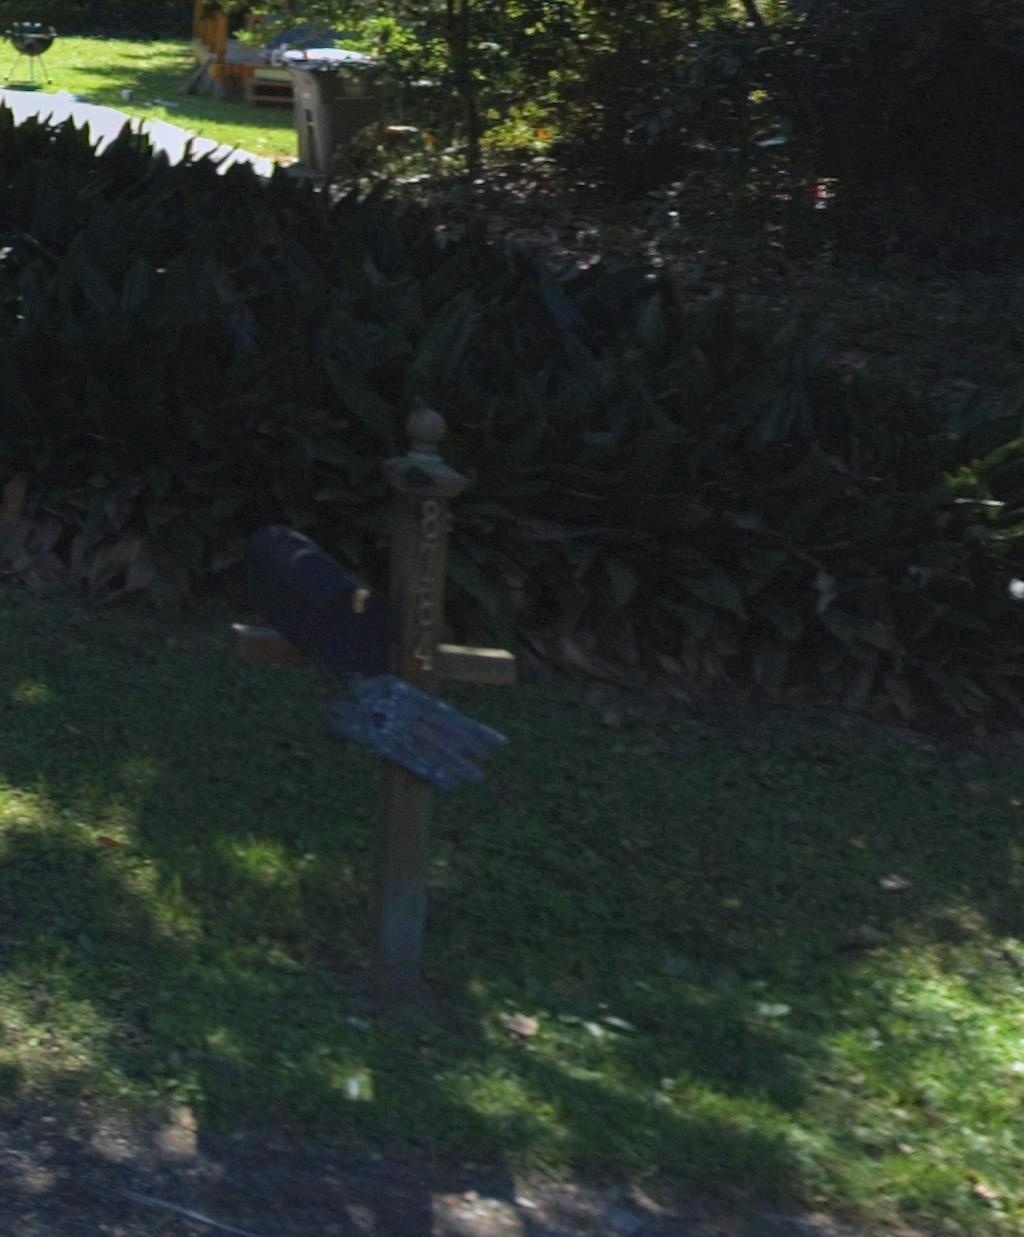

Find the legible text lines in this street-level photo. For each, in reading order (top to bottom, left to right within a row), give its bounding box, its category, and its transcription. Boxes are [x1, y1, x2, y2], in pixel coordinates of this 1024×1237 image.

[407, 494, 446, 677] StreetNumber: 8784